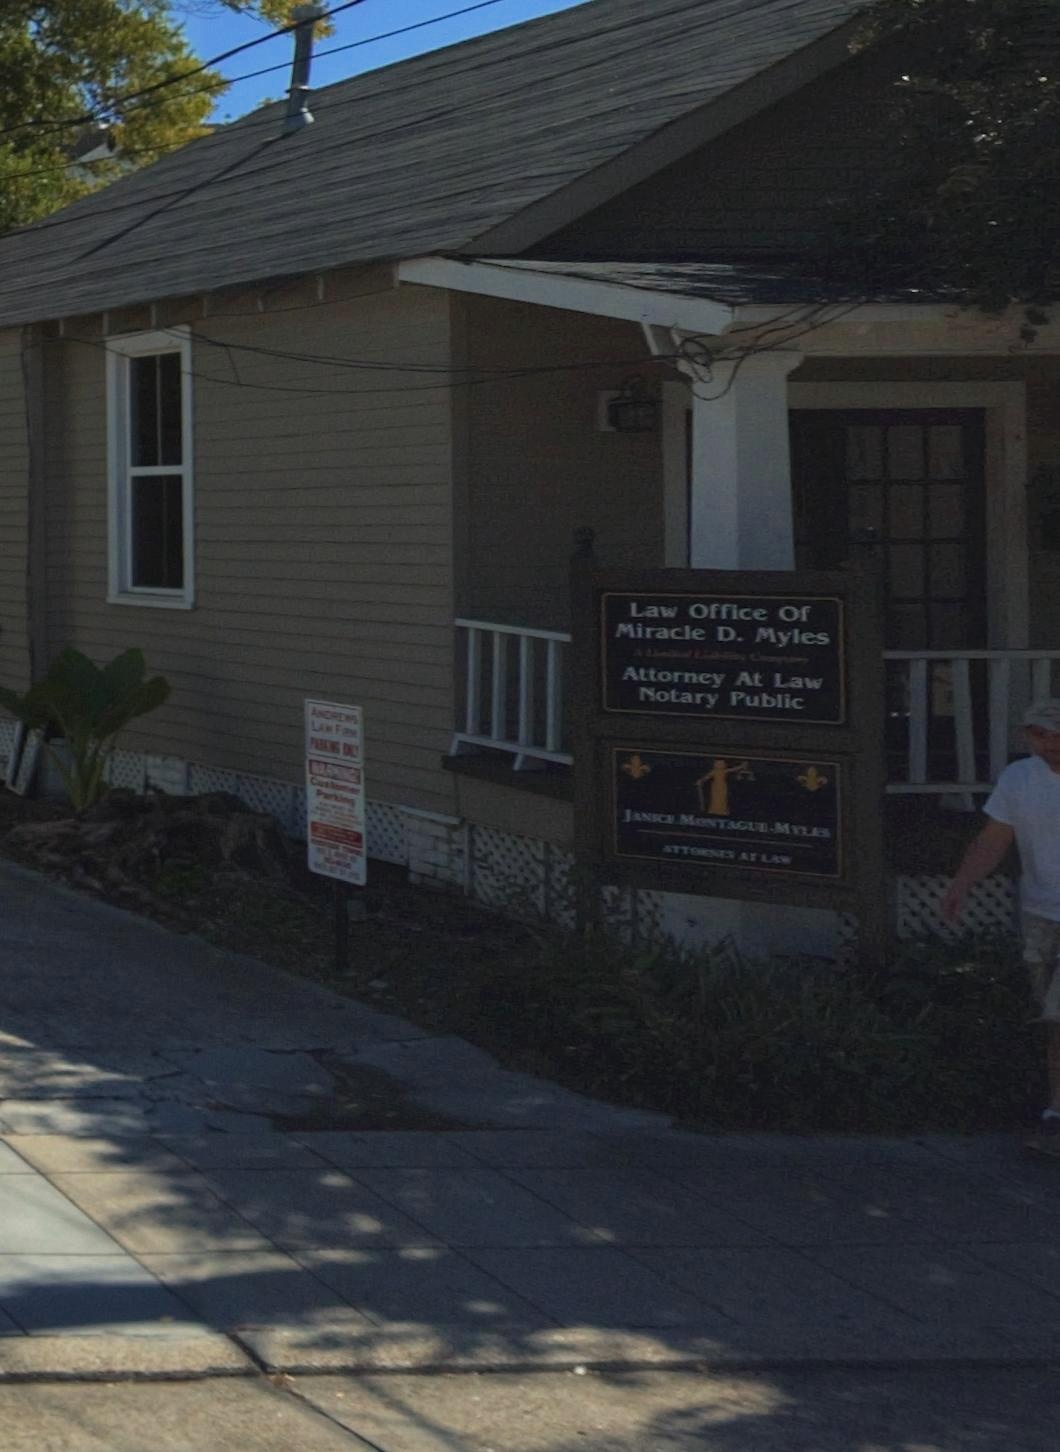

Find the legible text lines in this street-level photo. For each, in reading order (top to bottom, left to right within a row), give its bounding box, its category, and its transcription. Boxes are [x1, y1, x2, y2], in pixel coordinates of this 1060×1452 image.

[627, 600, 815, 625] BusinessName: Law Office Of
[610, 618, 835, 648] BusinessName: Miracle D. Myles
[615, 662, 829, 692] None: Attorney At Law
[636, 684, 808, 713] None: Notary Public
[309, 717, 321, 734] None: L
[618, 806, 731, 832] None: JAN*** MO*T
[669, 842, 692, 857] None: TT